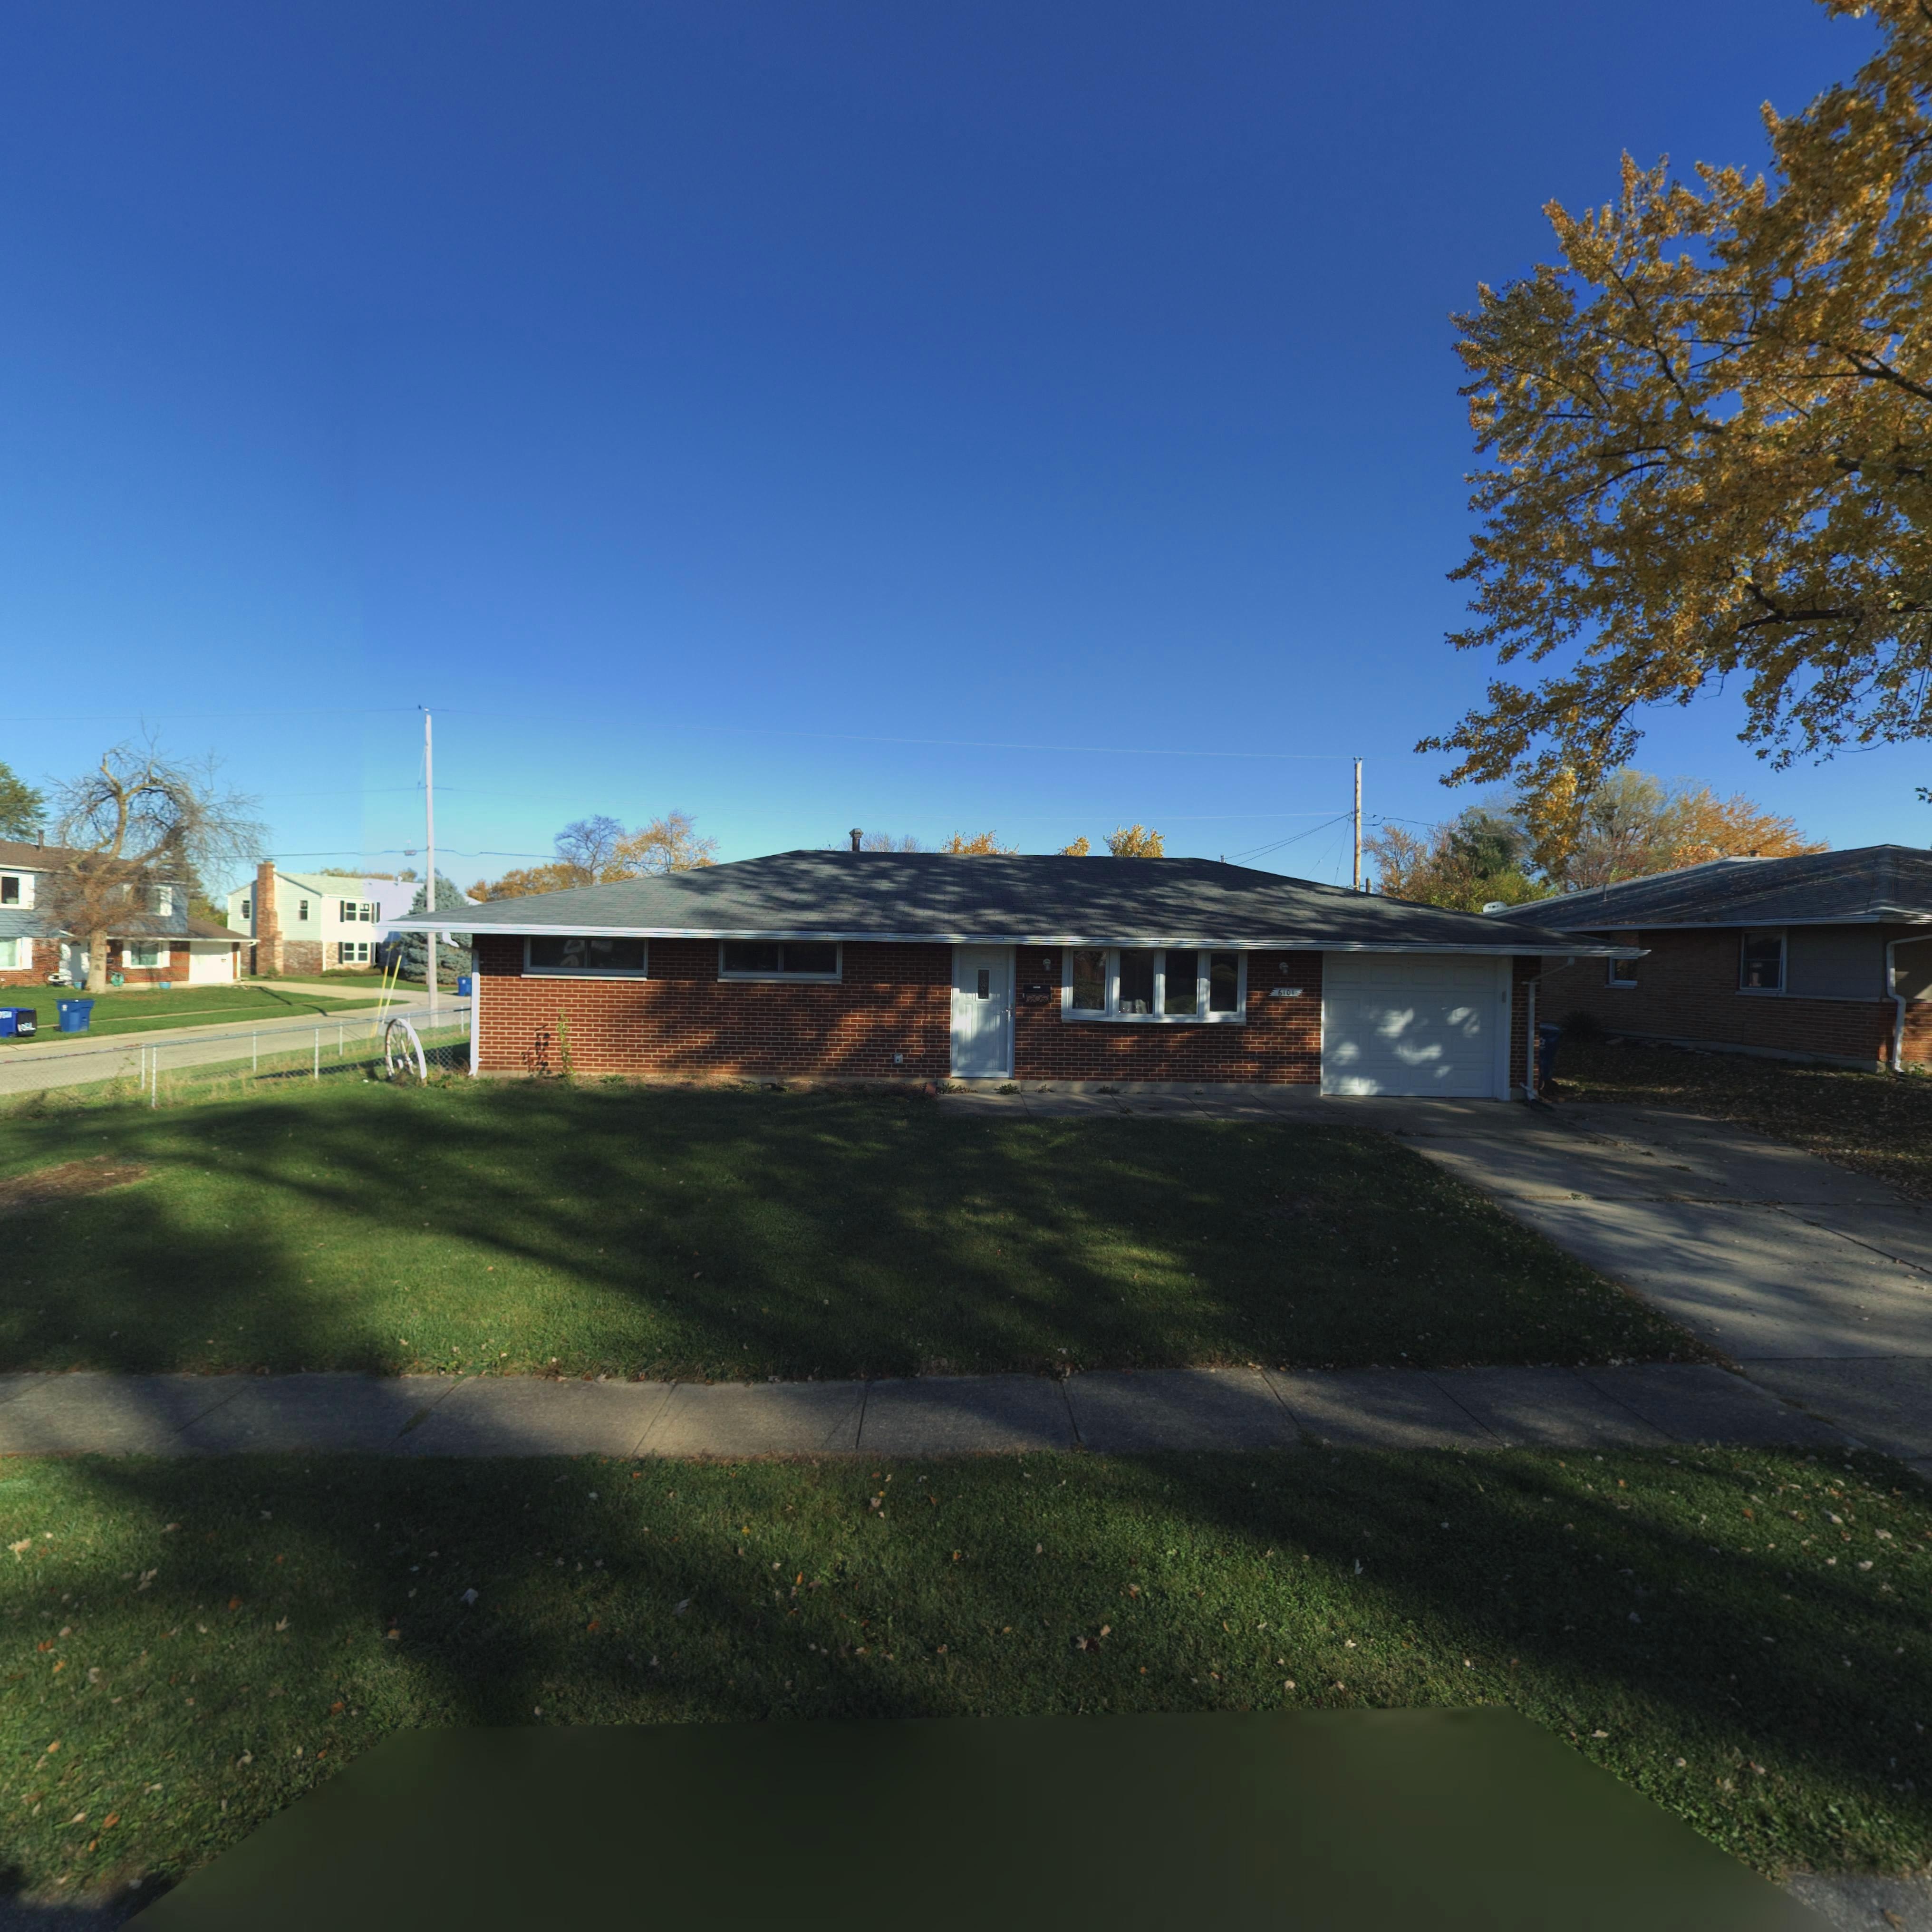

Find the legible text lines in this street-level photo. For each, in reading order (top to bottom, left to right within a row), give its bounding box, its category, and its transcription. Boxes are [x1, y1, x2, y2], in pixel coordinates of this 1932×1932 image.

[1277, 988, 1294, 996] StreetNumber: 6101
[16, 1021, 37, 1033] StreetNumber: 100*